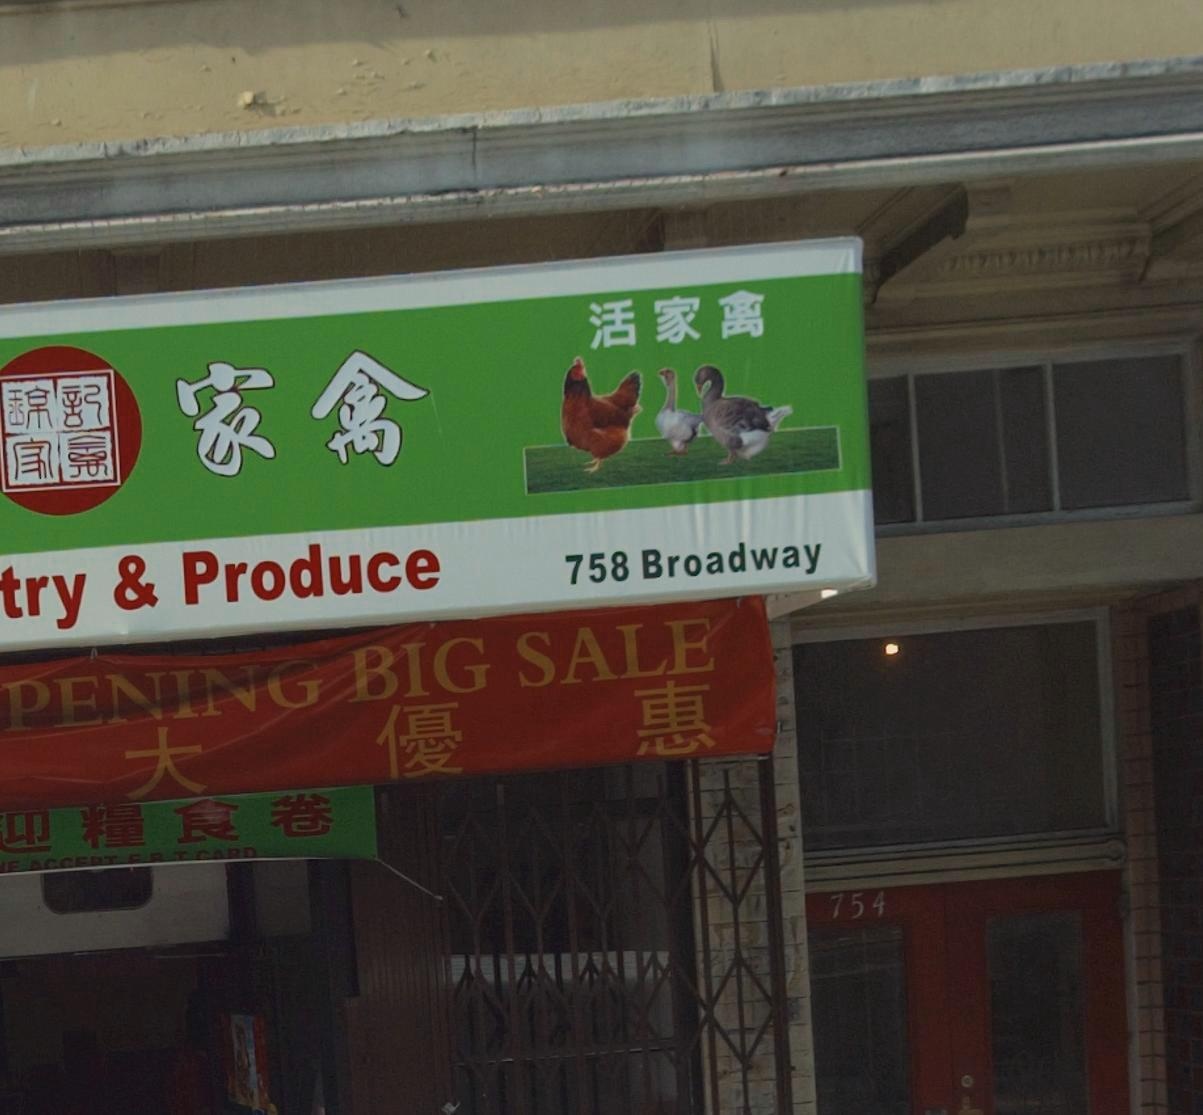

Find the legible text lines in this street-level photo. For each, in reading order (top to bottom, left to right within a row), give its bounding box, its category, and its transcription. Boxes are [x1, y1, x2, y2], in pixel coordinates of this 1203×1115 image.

[0, 541, 443, 632] None: try & Produce
[561, 548, 631, 587] StreetNumber: 758
[639, 539, 825, 582] StreetName: Broadway
[0, 613, 717, 736] None: PENING BIG SALE
[827, 886, 887, 924] StreetNumber: 754